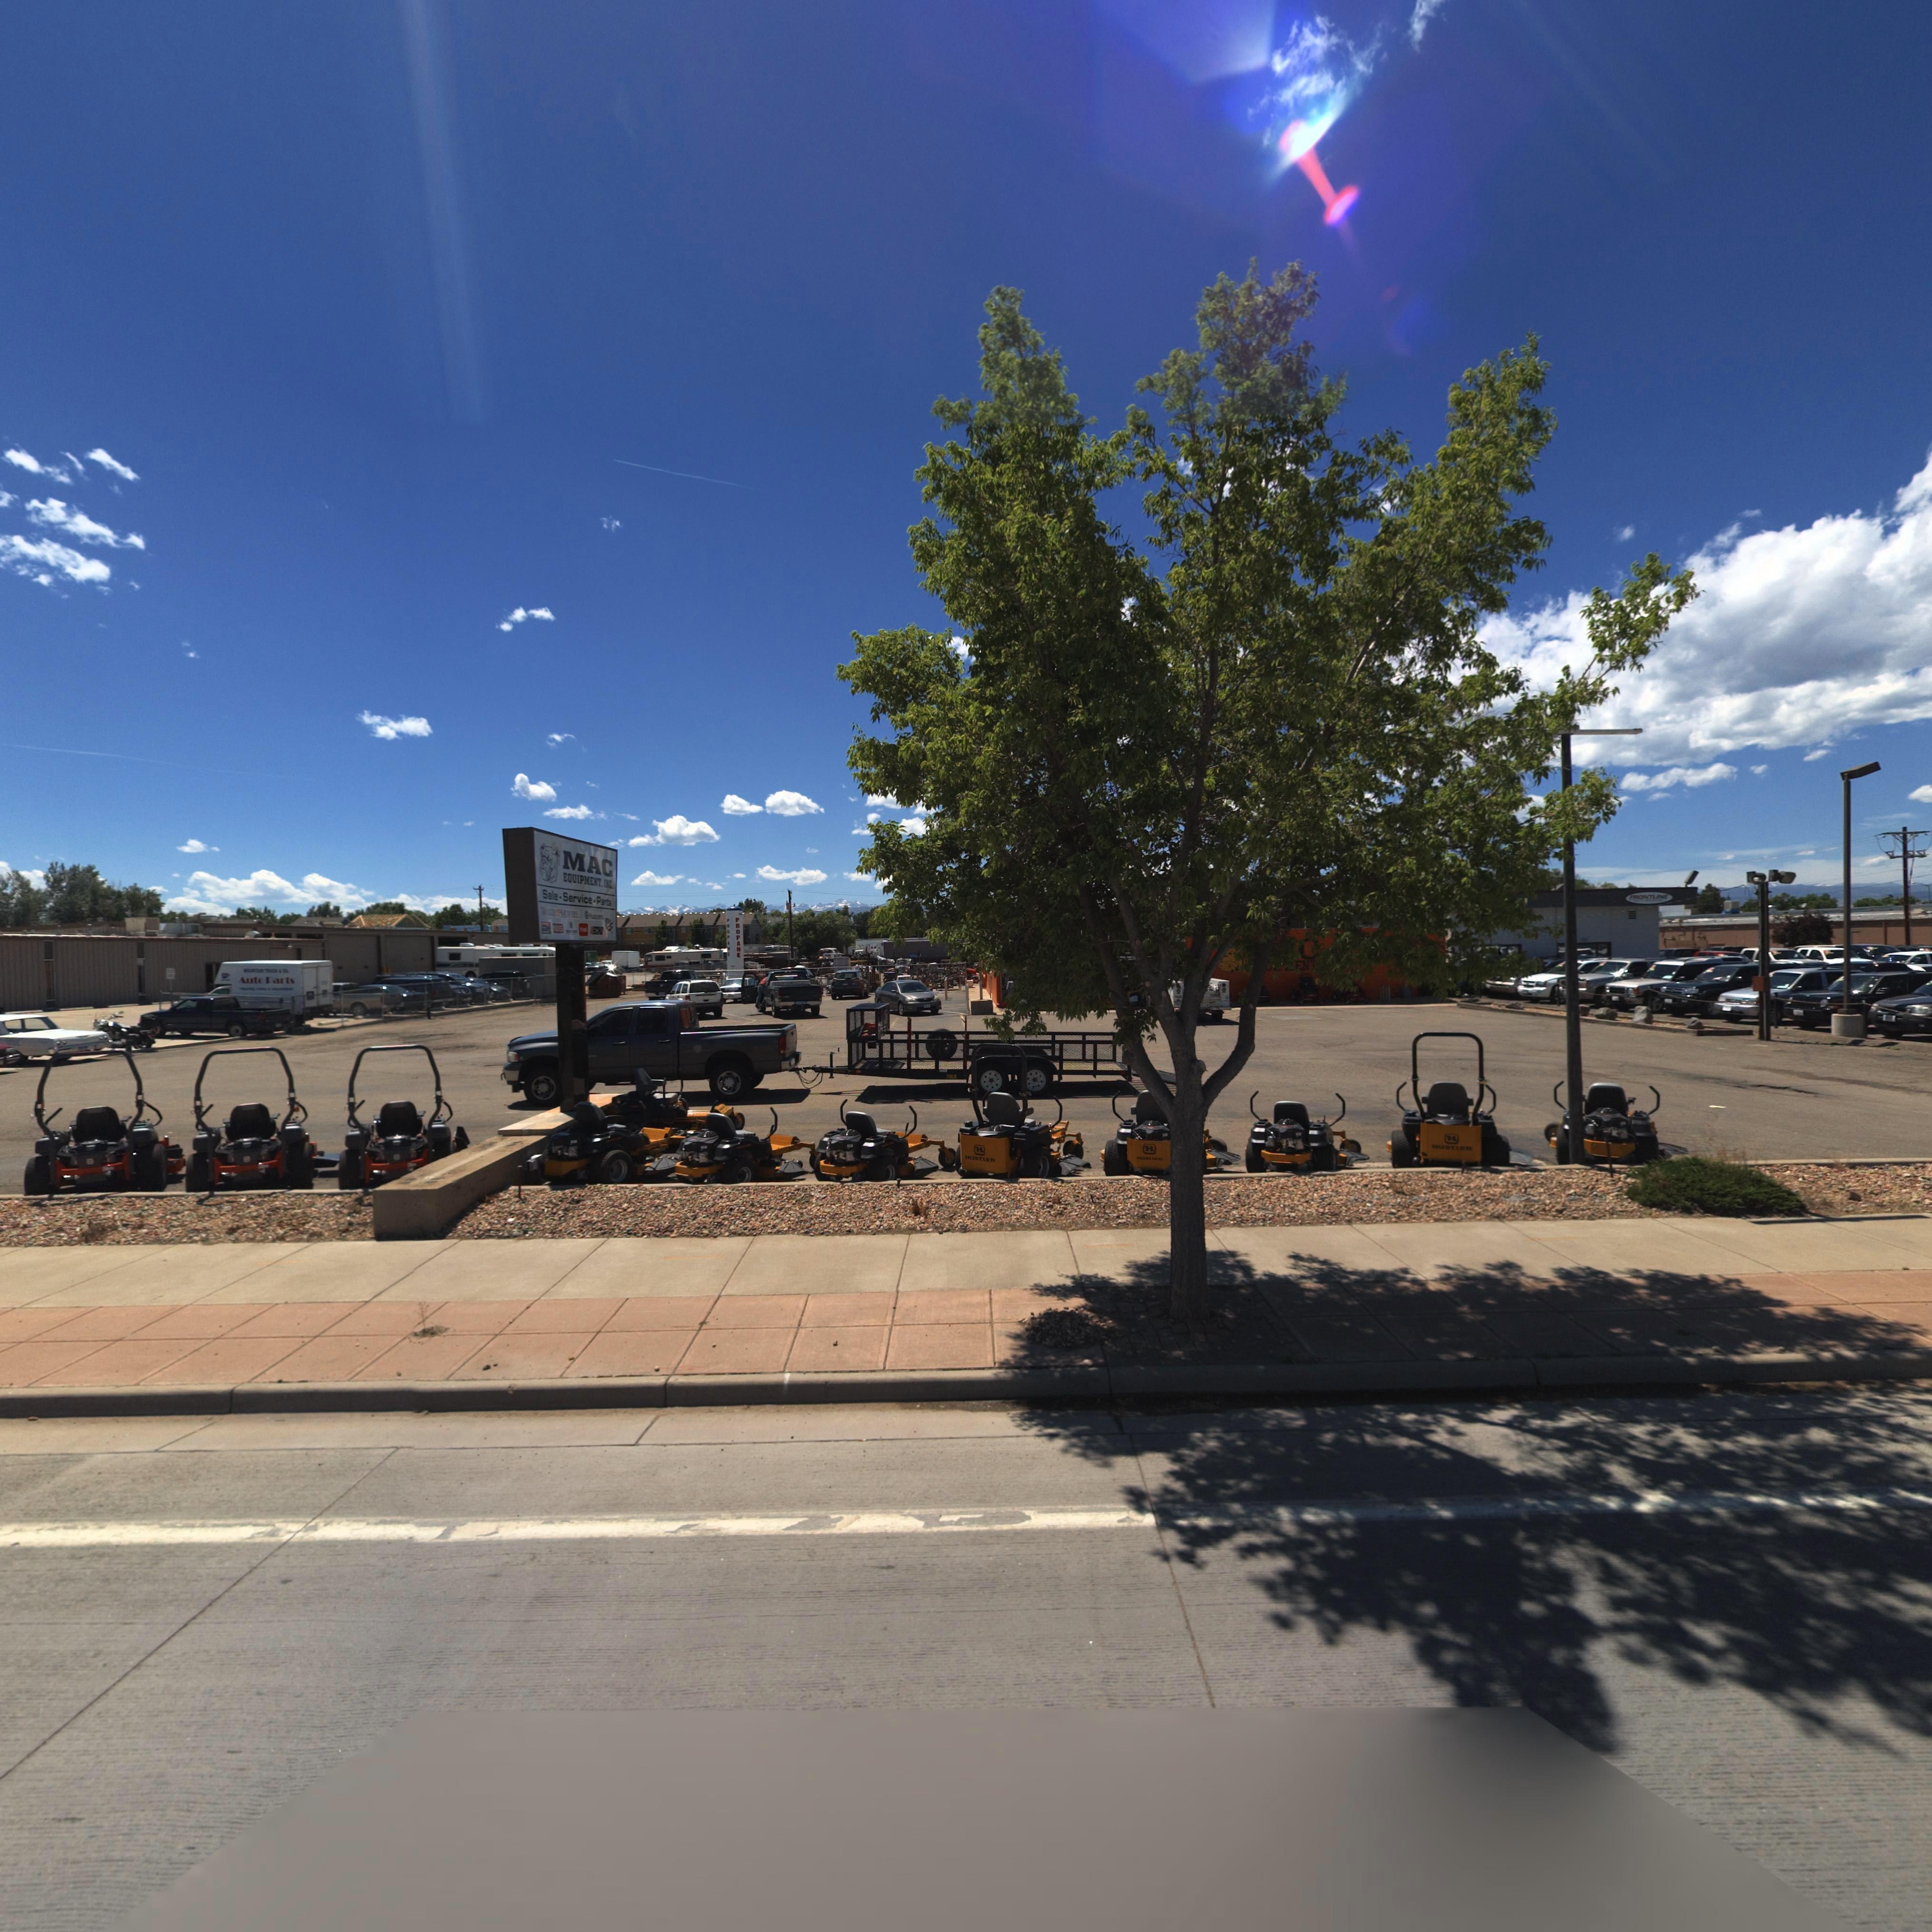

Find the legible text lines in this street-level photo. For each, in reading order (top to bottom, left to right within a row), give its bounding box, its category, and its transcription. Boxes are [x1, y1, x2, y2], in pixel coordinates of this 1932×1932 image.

[562, 849, 613, 878] BusinessName: MAC
[563, 872, 613, 889] BusinessName: EQUIPMENT, INC.
[1629, 894, 1669, 900] BusinessName: FRONTLINE
[1294, 960, 1310, 971] BusinessName: EN